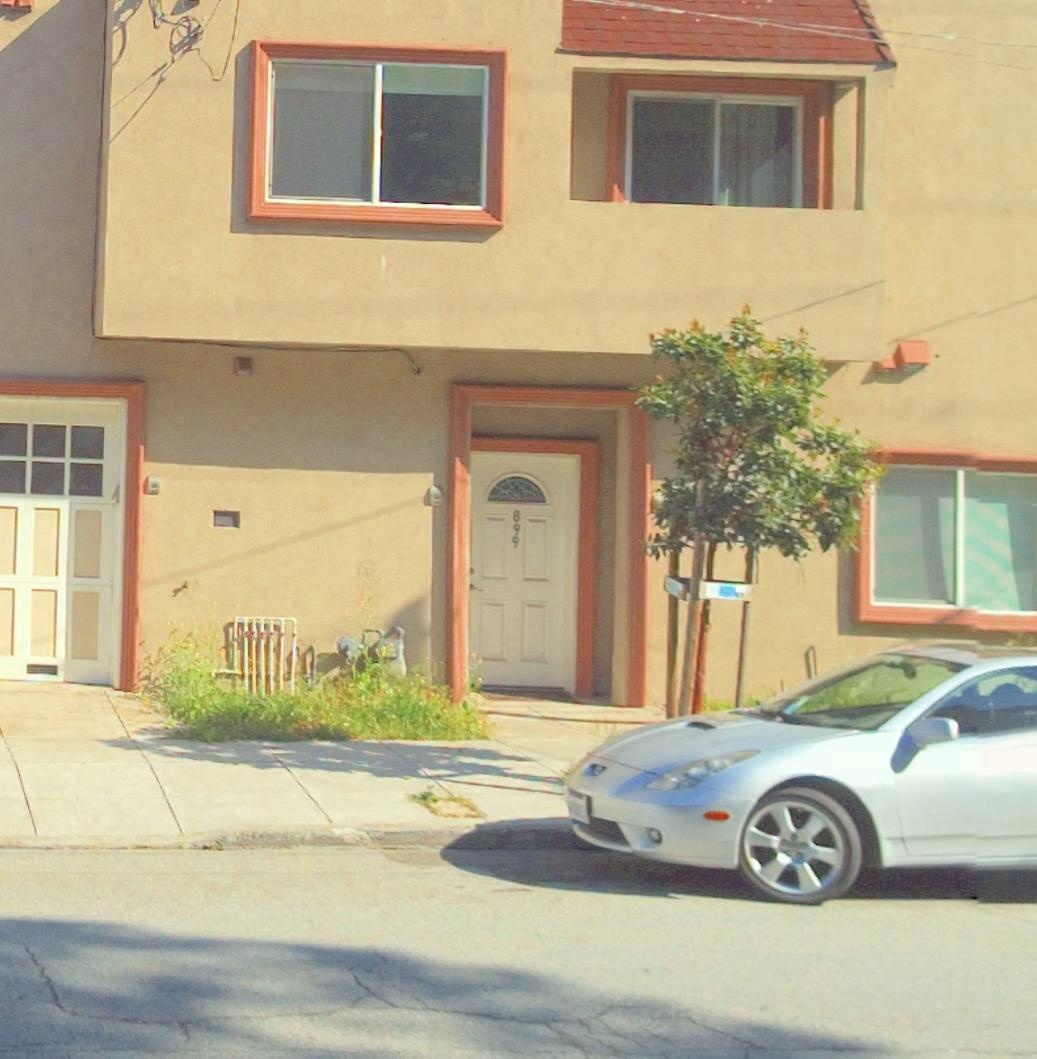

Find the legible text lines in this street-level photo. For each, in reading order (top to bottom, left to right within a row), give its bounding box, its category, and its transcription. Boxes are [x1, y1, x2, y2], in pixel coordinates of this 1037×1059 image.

[511, 509, 521, 549] StreetNumber: 899